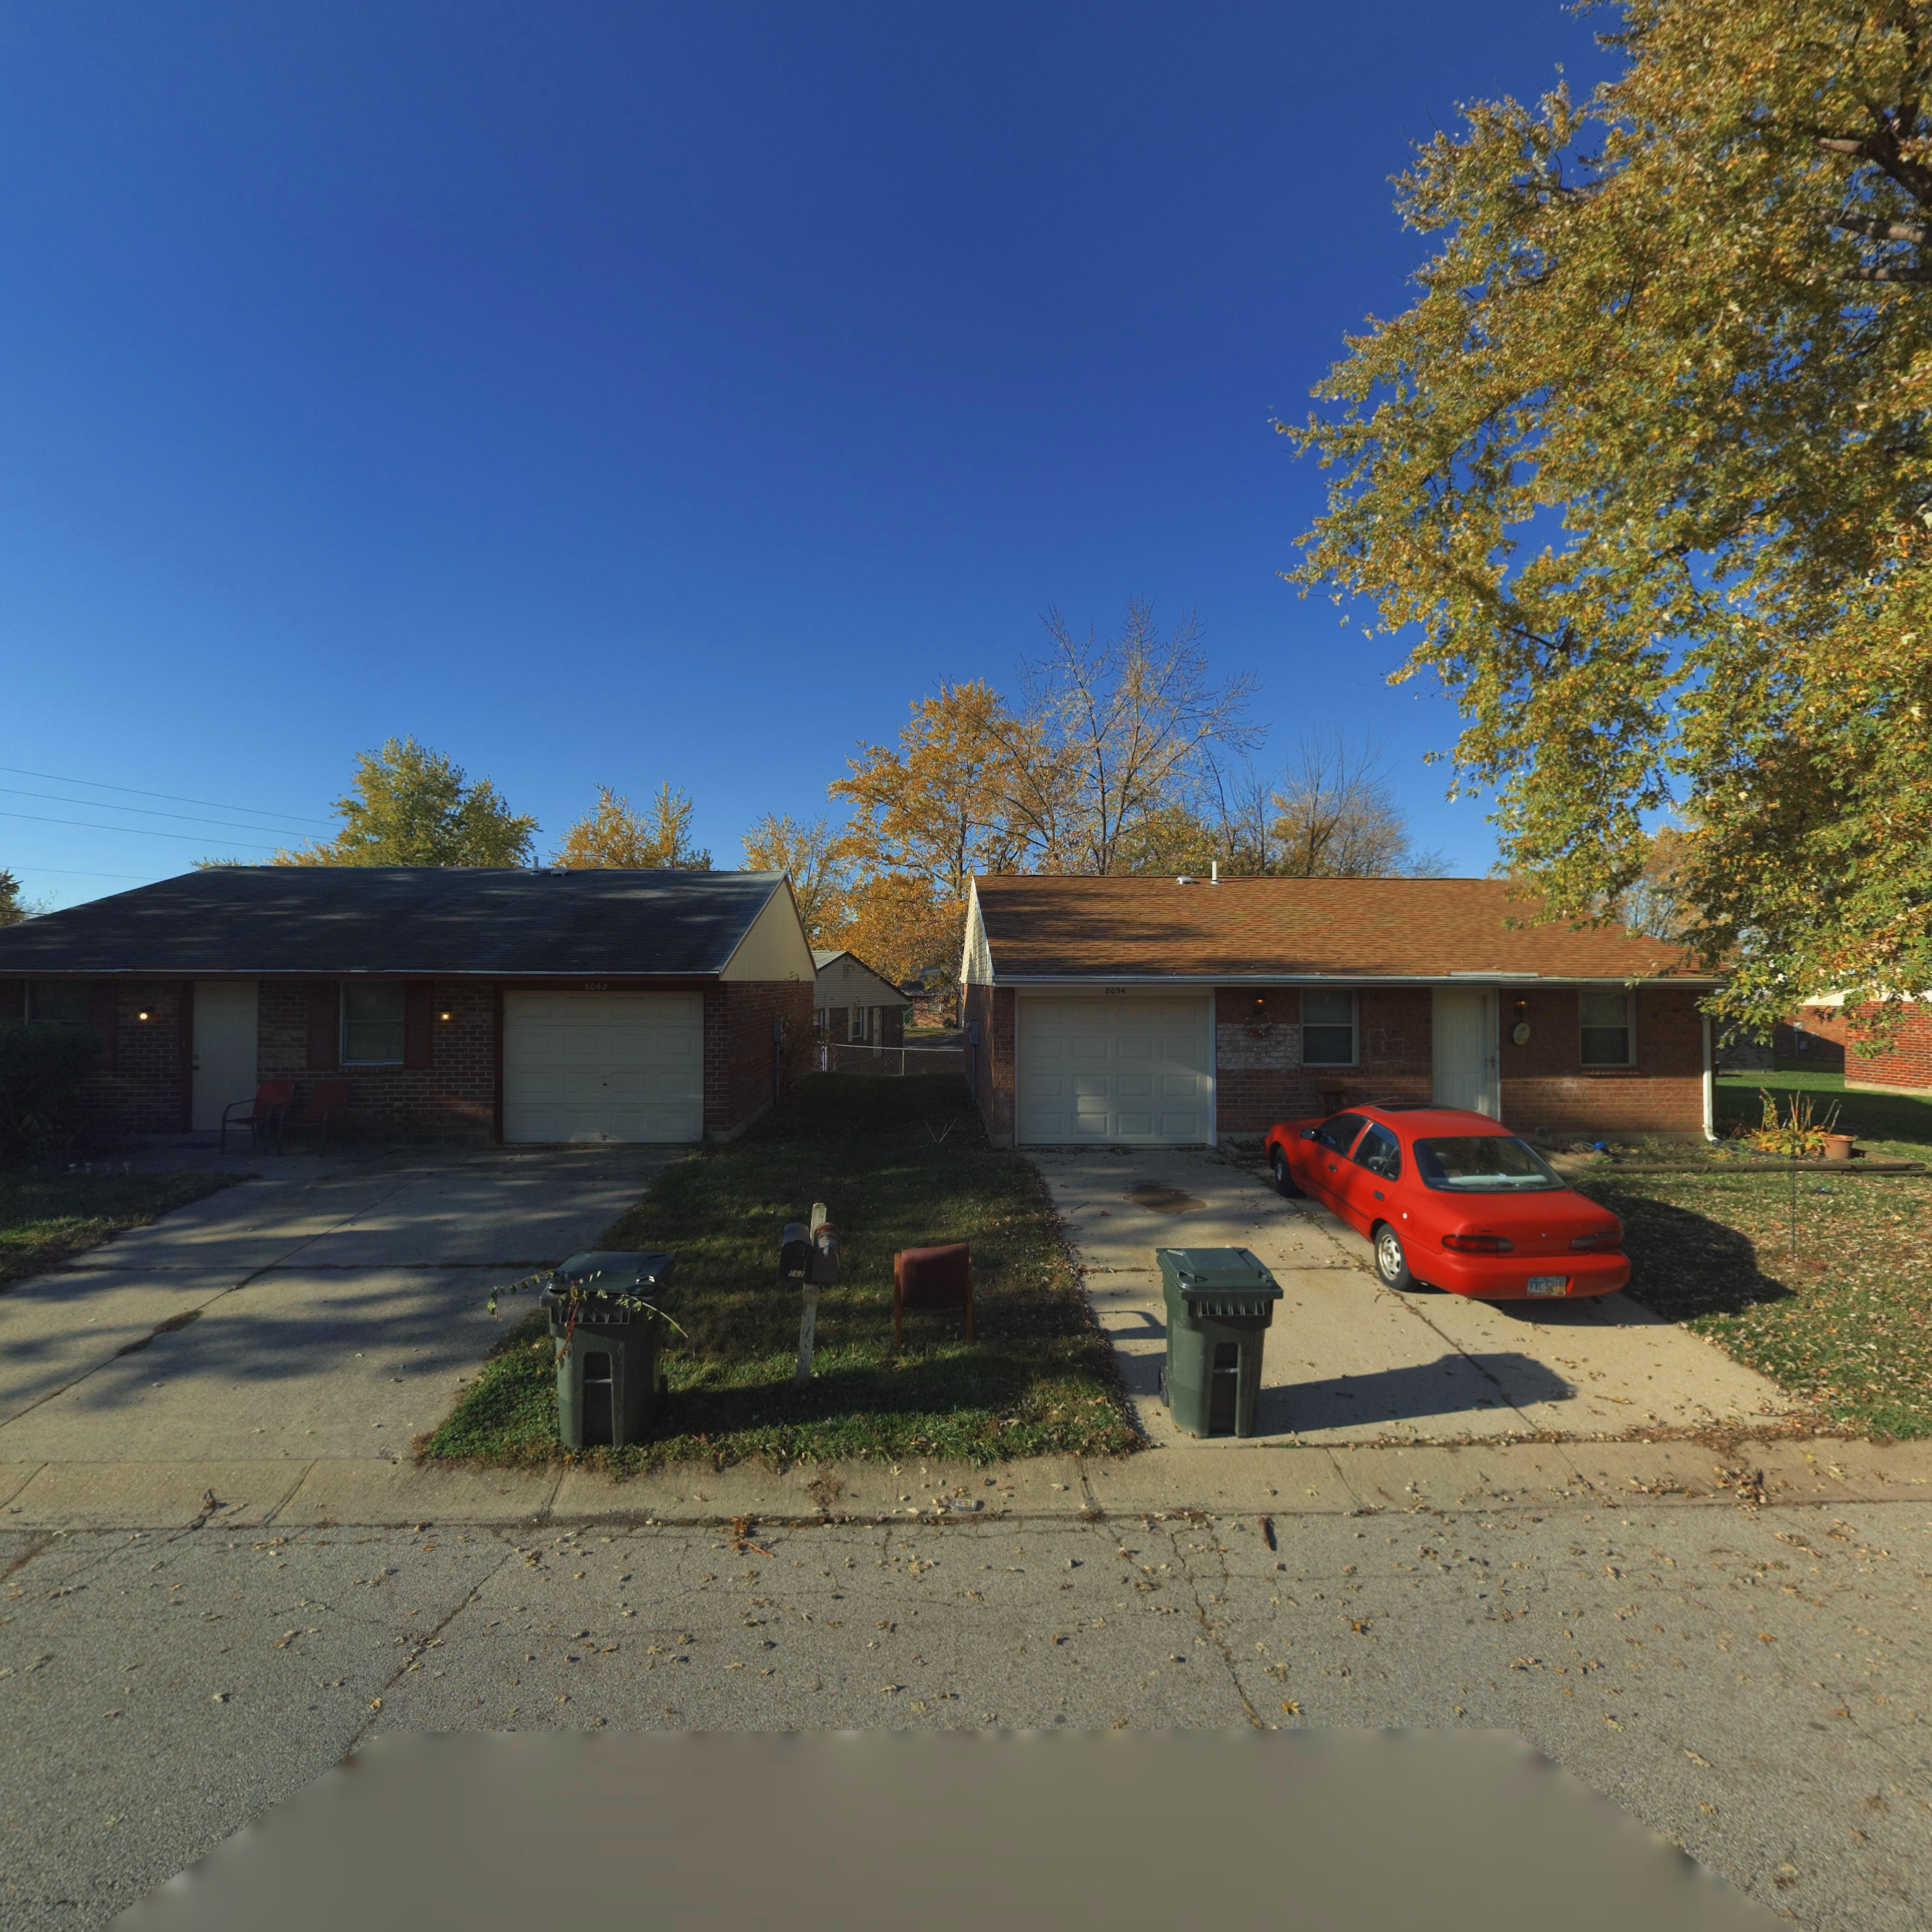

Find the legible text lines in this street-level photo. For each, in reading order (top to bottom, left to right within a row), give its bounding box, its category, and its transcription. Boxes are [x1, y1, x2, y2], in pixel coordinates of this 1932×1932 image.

[583, 981, 609, 992] StreetNumber: 8062
[1104, 985, 1127, 995] StreetNumber: 8054
[789, 1270, 805, 1277] StreetNumber: 067